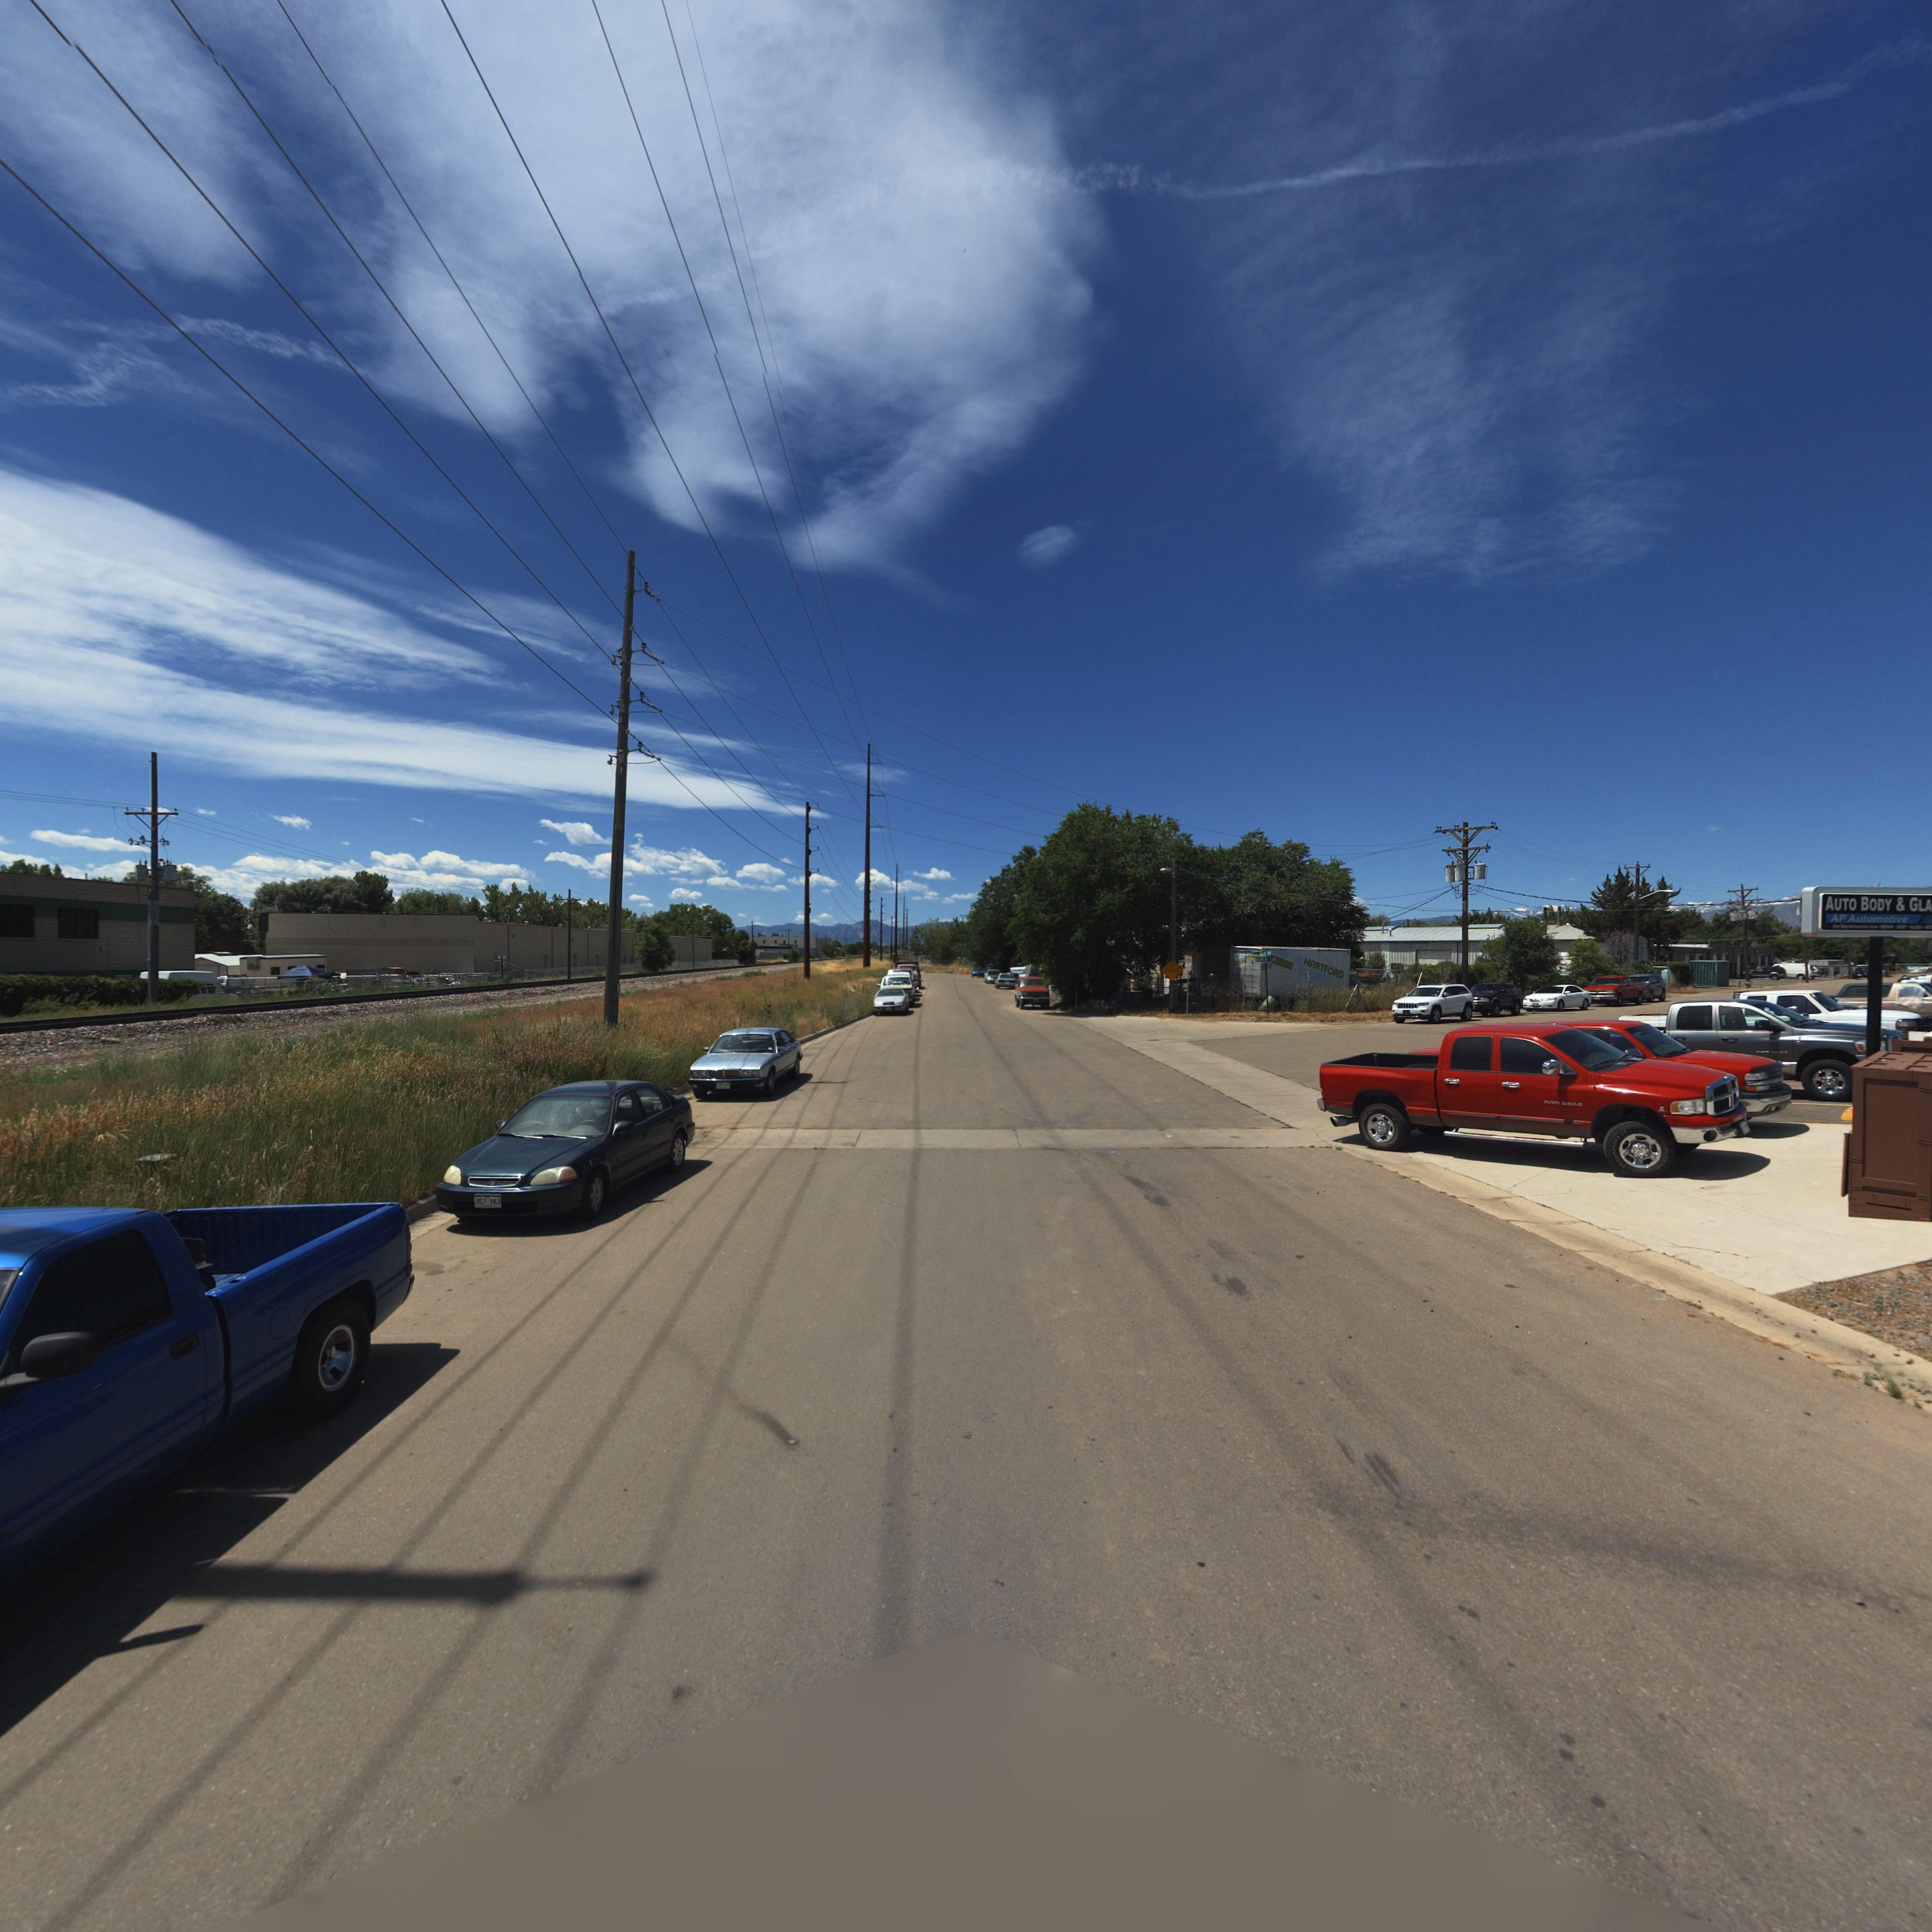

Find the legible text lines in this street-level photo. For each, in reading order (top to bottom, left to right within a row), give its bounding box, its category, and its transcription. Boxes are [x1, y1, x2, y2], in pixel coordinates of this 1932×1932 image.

[1829, 913, 1909, 923] BusinessName: AP Automotive
[1255, 957, 1275, 961] StreetName: *O*EN C**